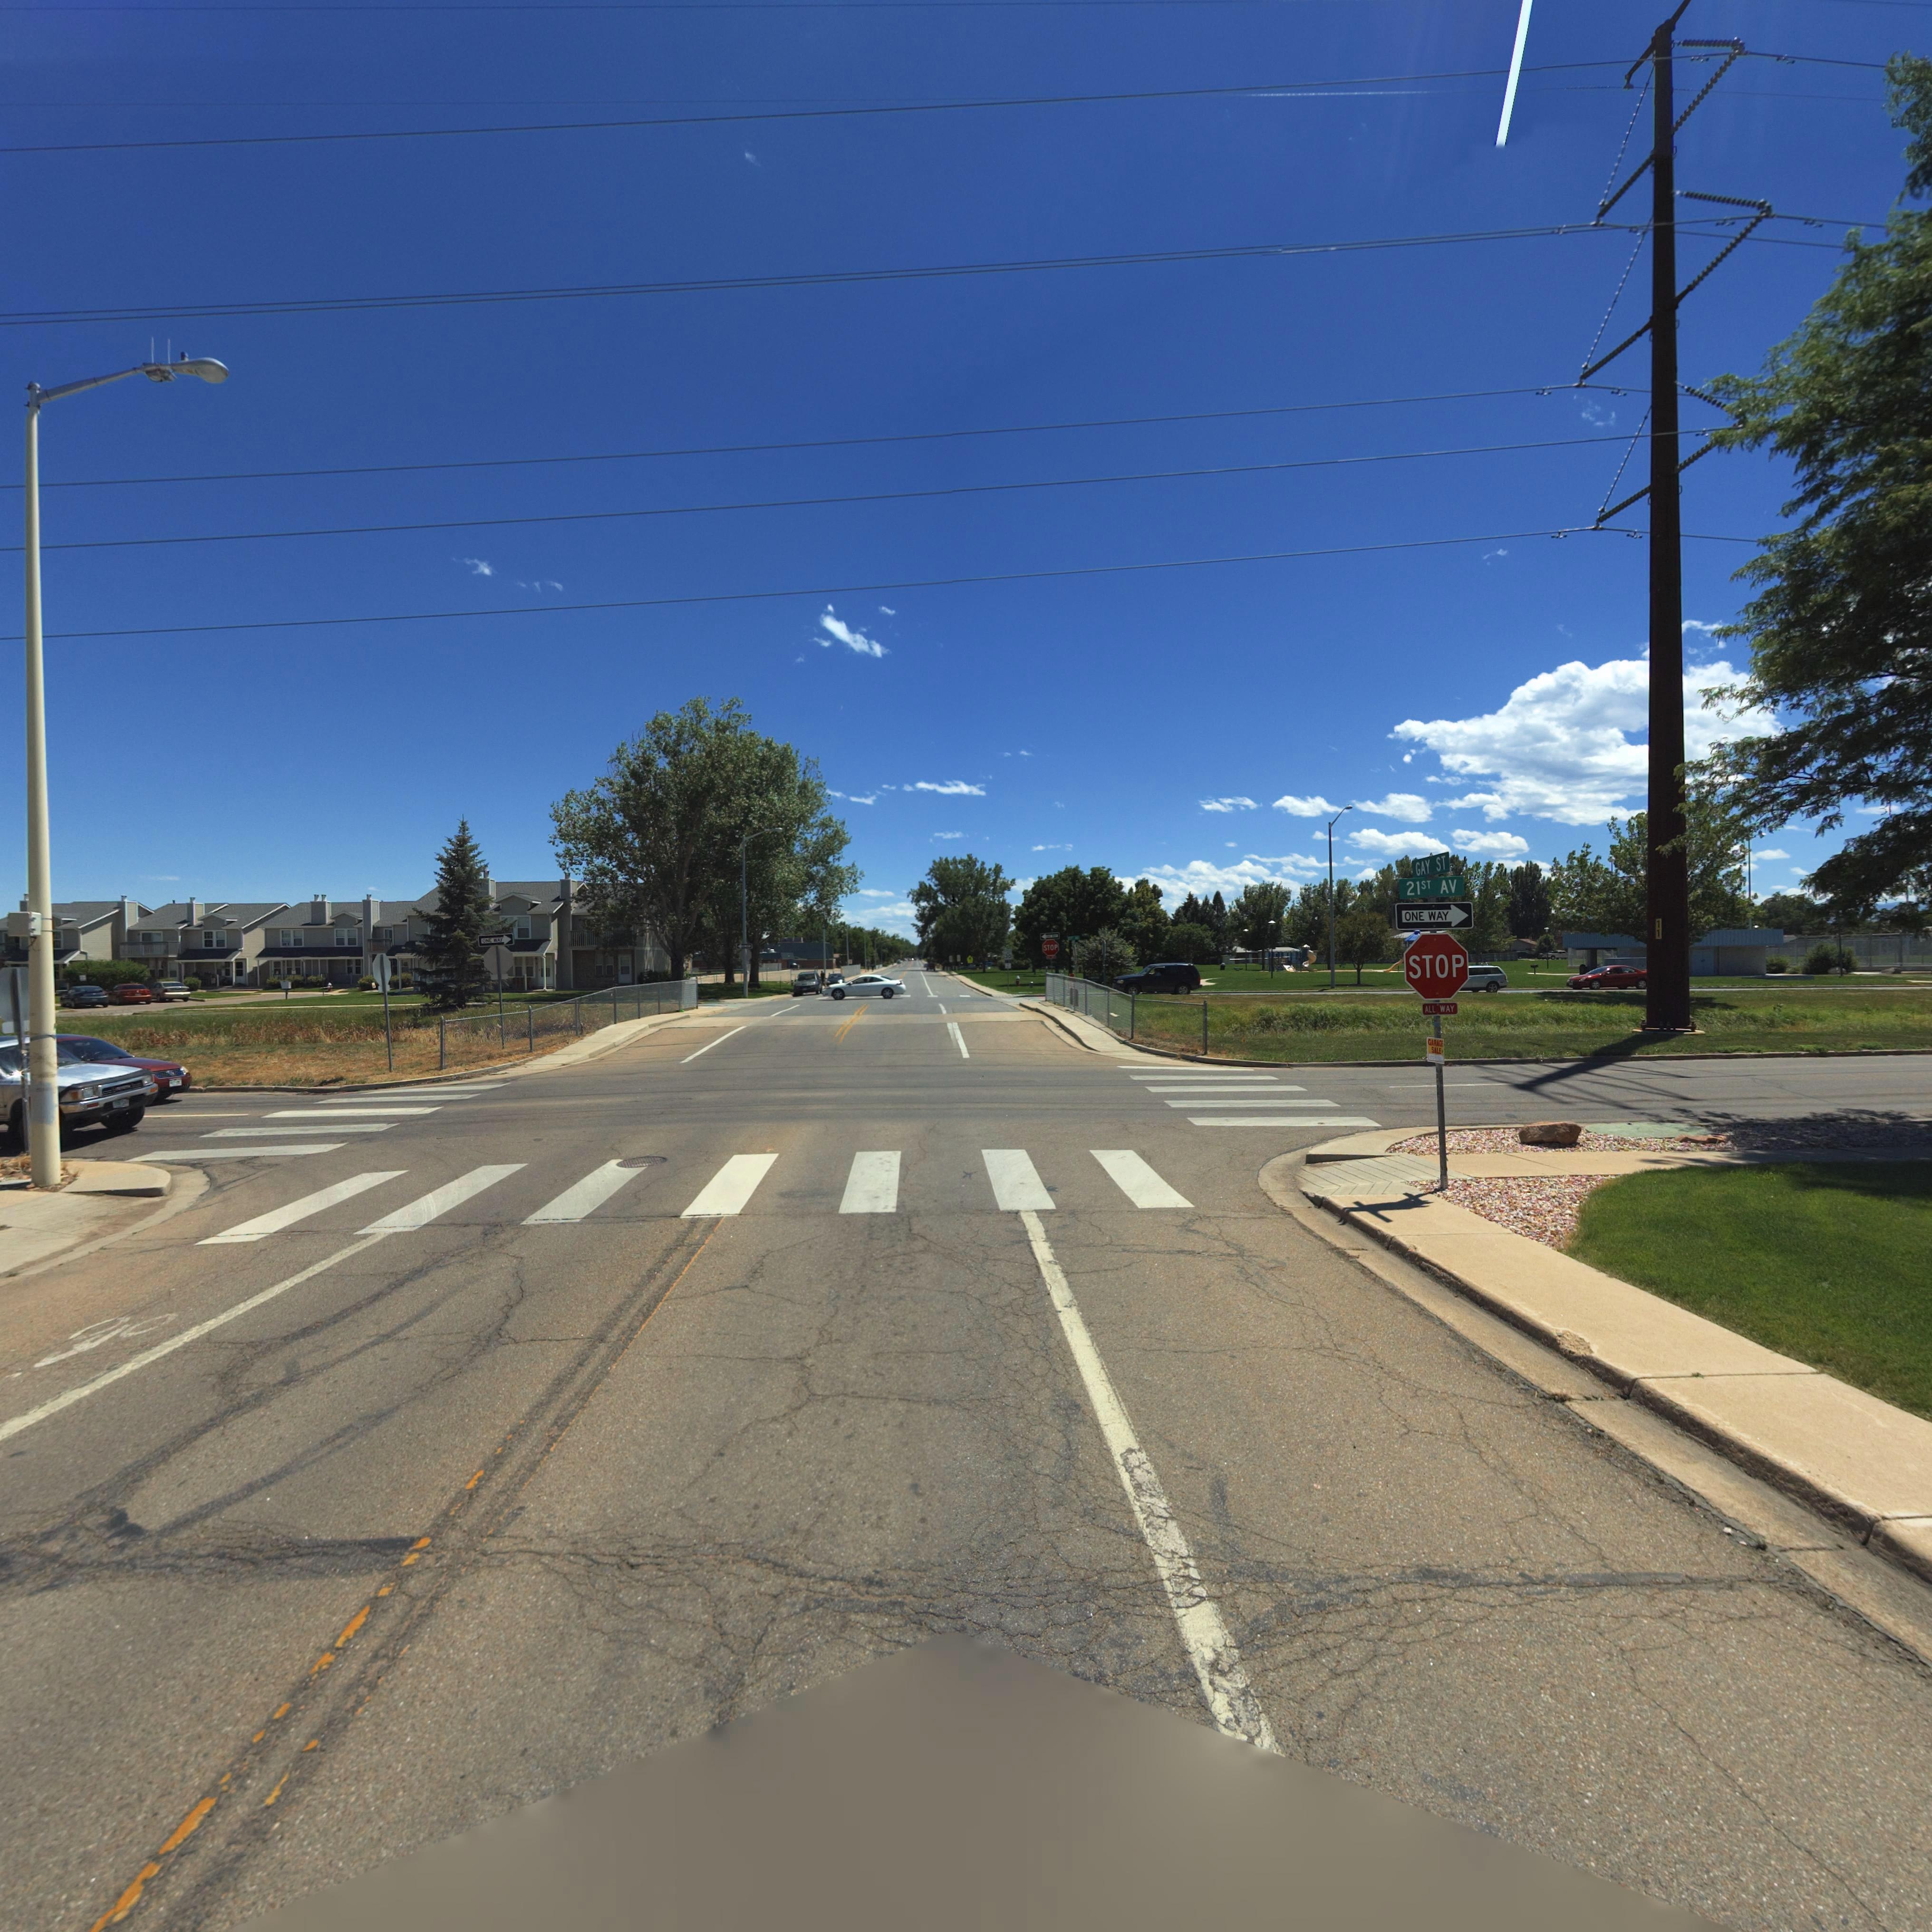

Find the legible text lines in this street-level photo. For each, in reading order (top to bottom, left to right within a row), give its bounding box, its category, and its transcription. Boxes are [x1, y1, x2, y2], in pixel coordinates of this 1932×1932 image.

[1415, 855, 1445, 877] StreetName: GAY ST
[1406, 879, 1457, 896] StreetName: 21ST AV